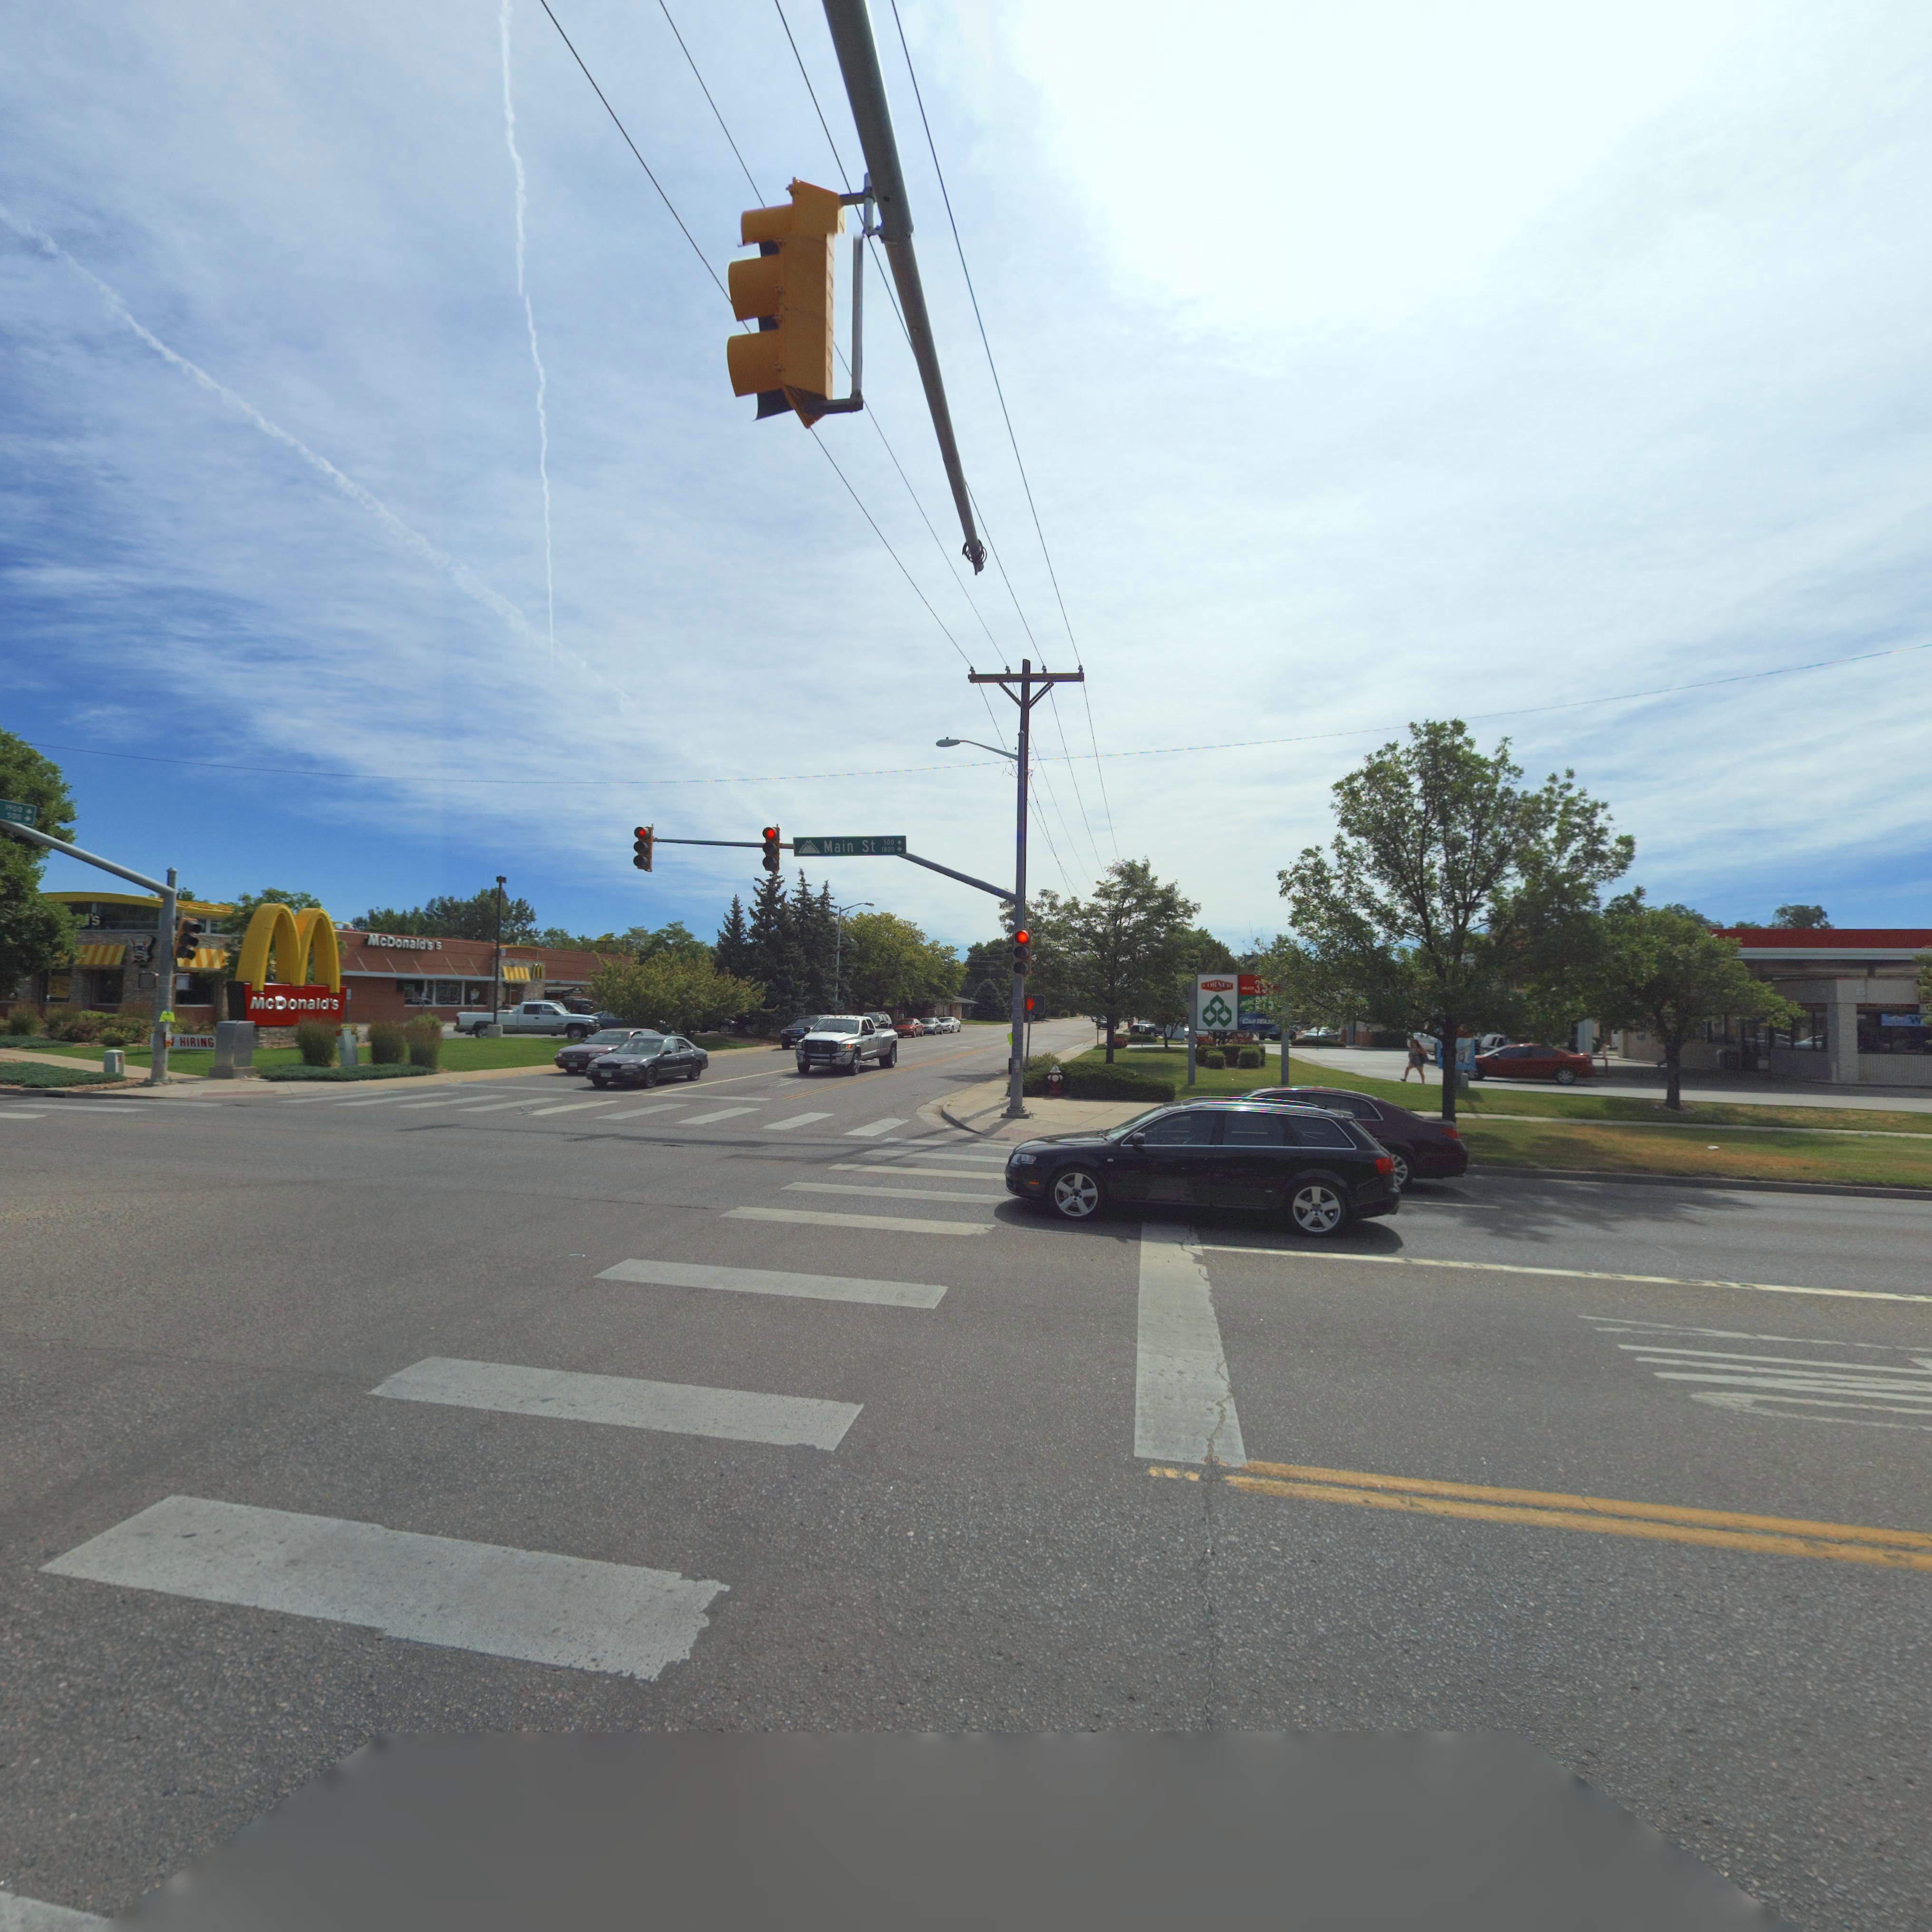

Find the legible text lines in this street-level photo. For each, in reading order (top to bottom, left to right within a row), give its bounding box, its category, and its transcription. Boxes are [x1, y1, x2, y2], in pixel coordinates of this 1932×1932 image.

[4, 803, 23, 812] StreetNumberRange: 1900
[6, 811, 32, 821] StreetNumberRange: 500->
[823, 839, 876, 853] StreetName: Main St
[883, 839, 894, 845] StreetNumberRange: 500
[881, 846, 902, 852] StreetNumberRange: 1800->
[89, 913, 101, 927] BusinessName: 's
[367, 934, 442, 950] BusinessName: McDonald's*'s
[1202, 981, 1231, 988] BusinessName: CORNER
[249, 995, 339, 1011] BusinessName: McDonald's